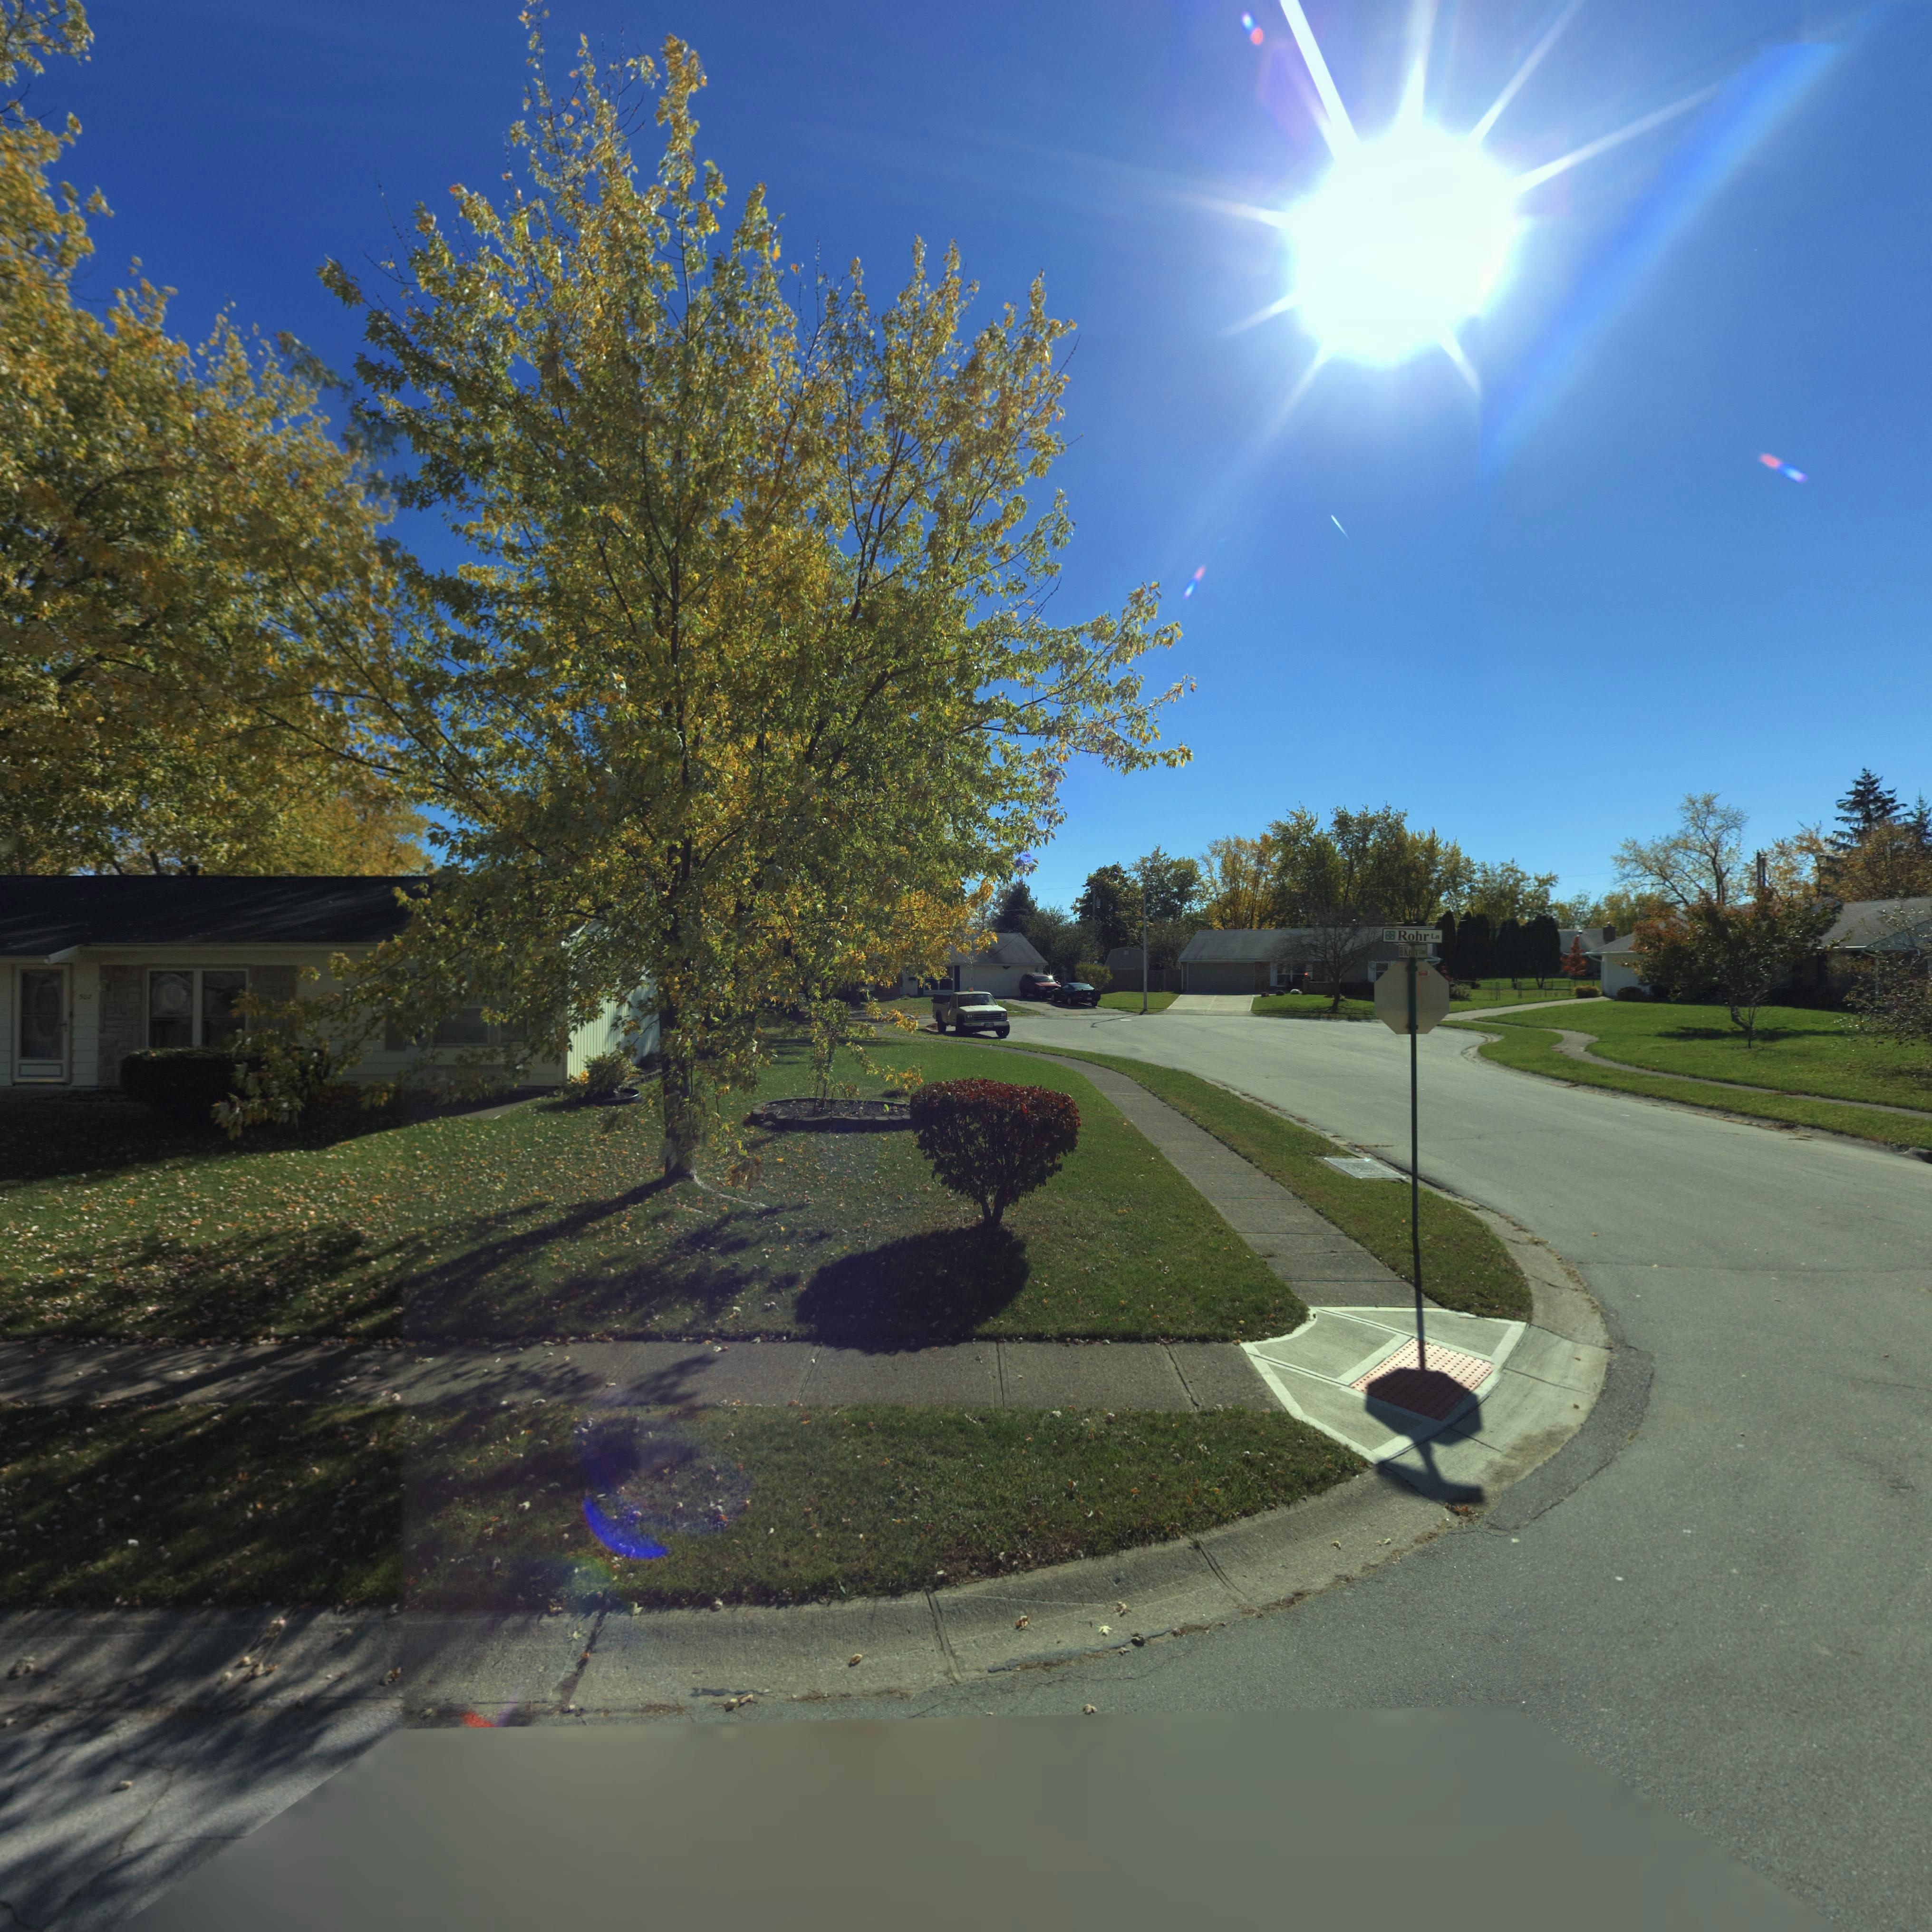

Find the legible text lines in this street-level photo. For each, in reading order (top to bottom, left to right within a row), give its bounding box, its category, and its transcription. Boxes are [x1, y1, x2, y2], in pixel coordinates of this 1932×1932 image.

[78, 993, 93, 1000] StreetNumber: 502